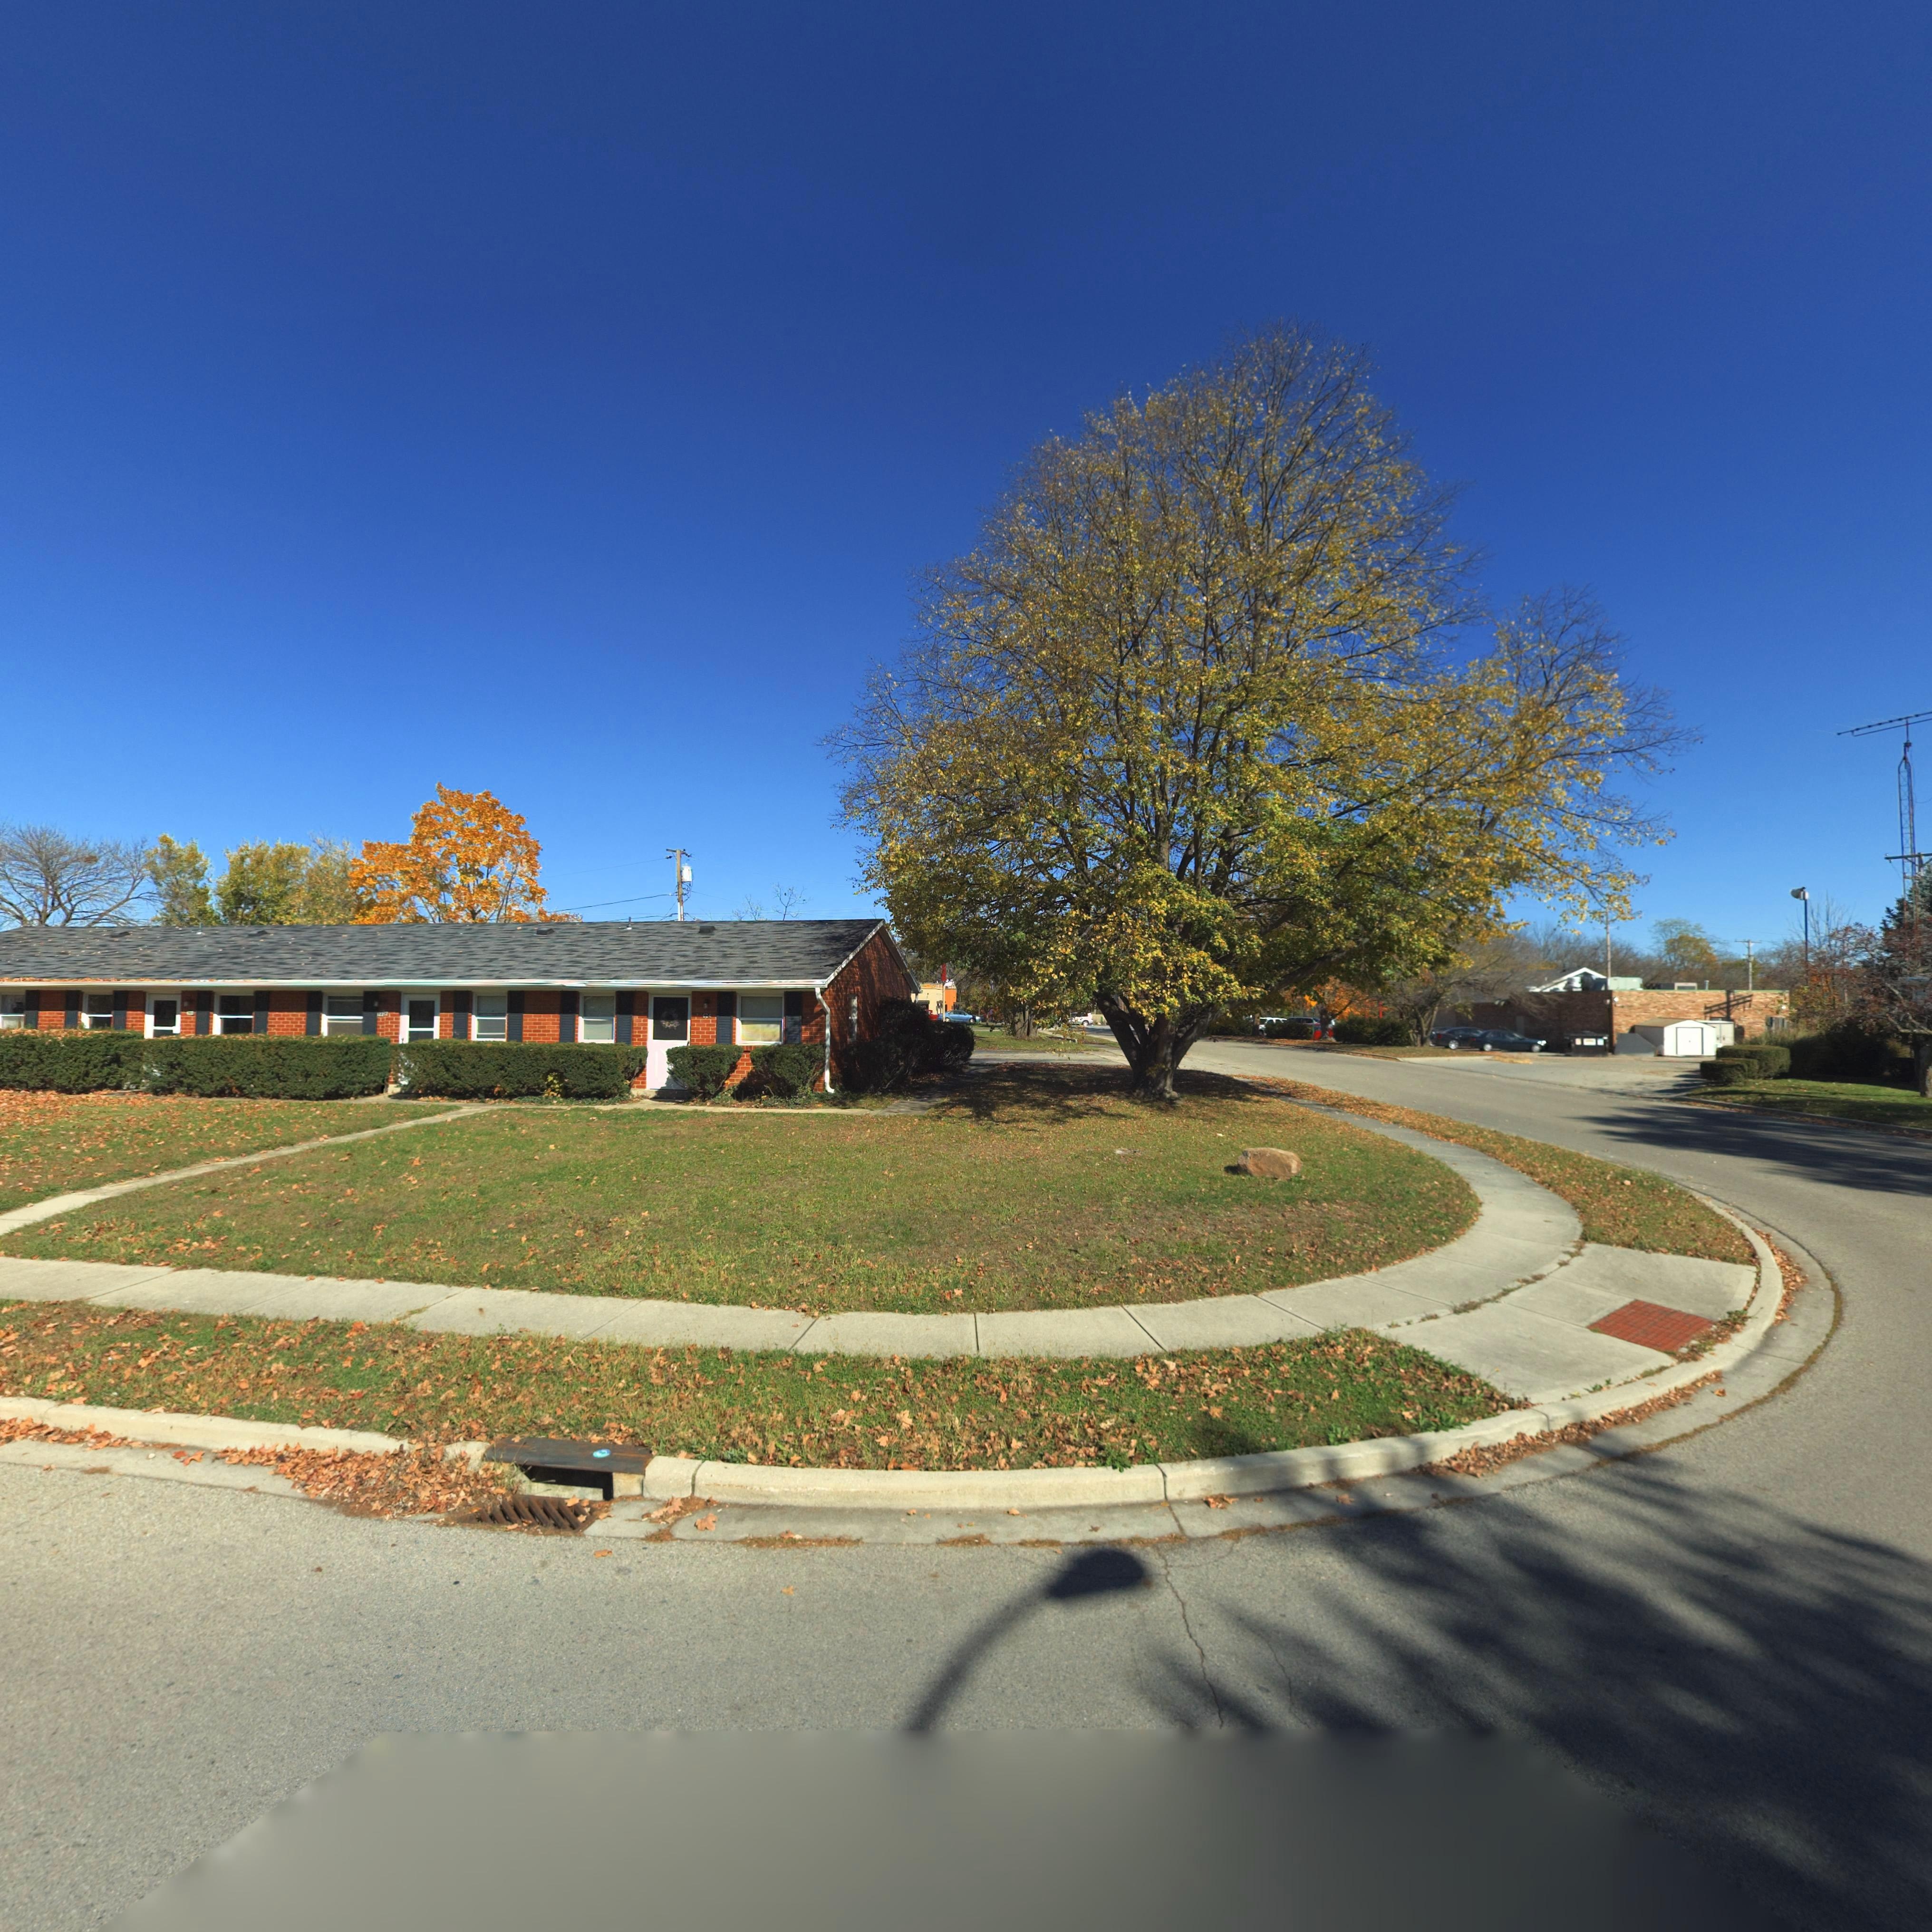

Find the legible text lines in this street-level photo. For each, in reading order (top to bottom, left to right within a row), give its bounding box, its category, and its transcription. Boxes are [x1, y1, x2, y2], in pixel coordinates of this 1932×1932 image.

[378, 1012, 384, 1016] StreetNumber: 22
[702, 1013, 712, 1018] StreetNumber: 624